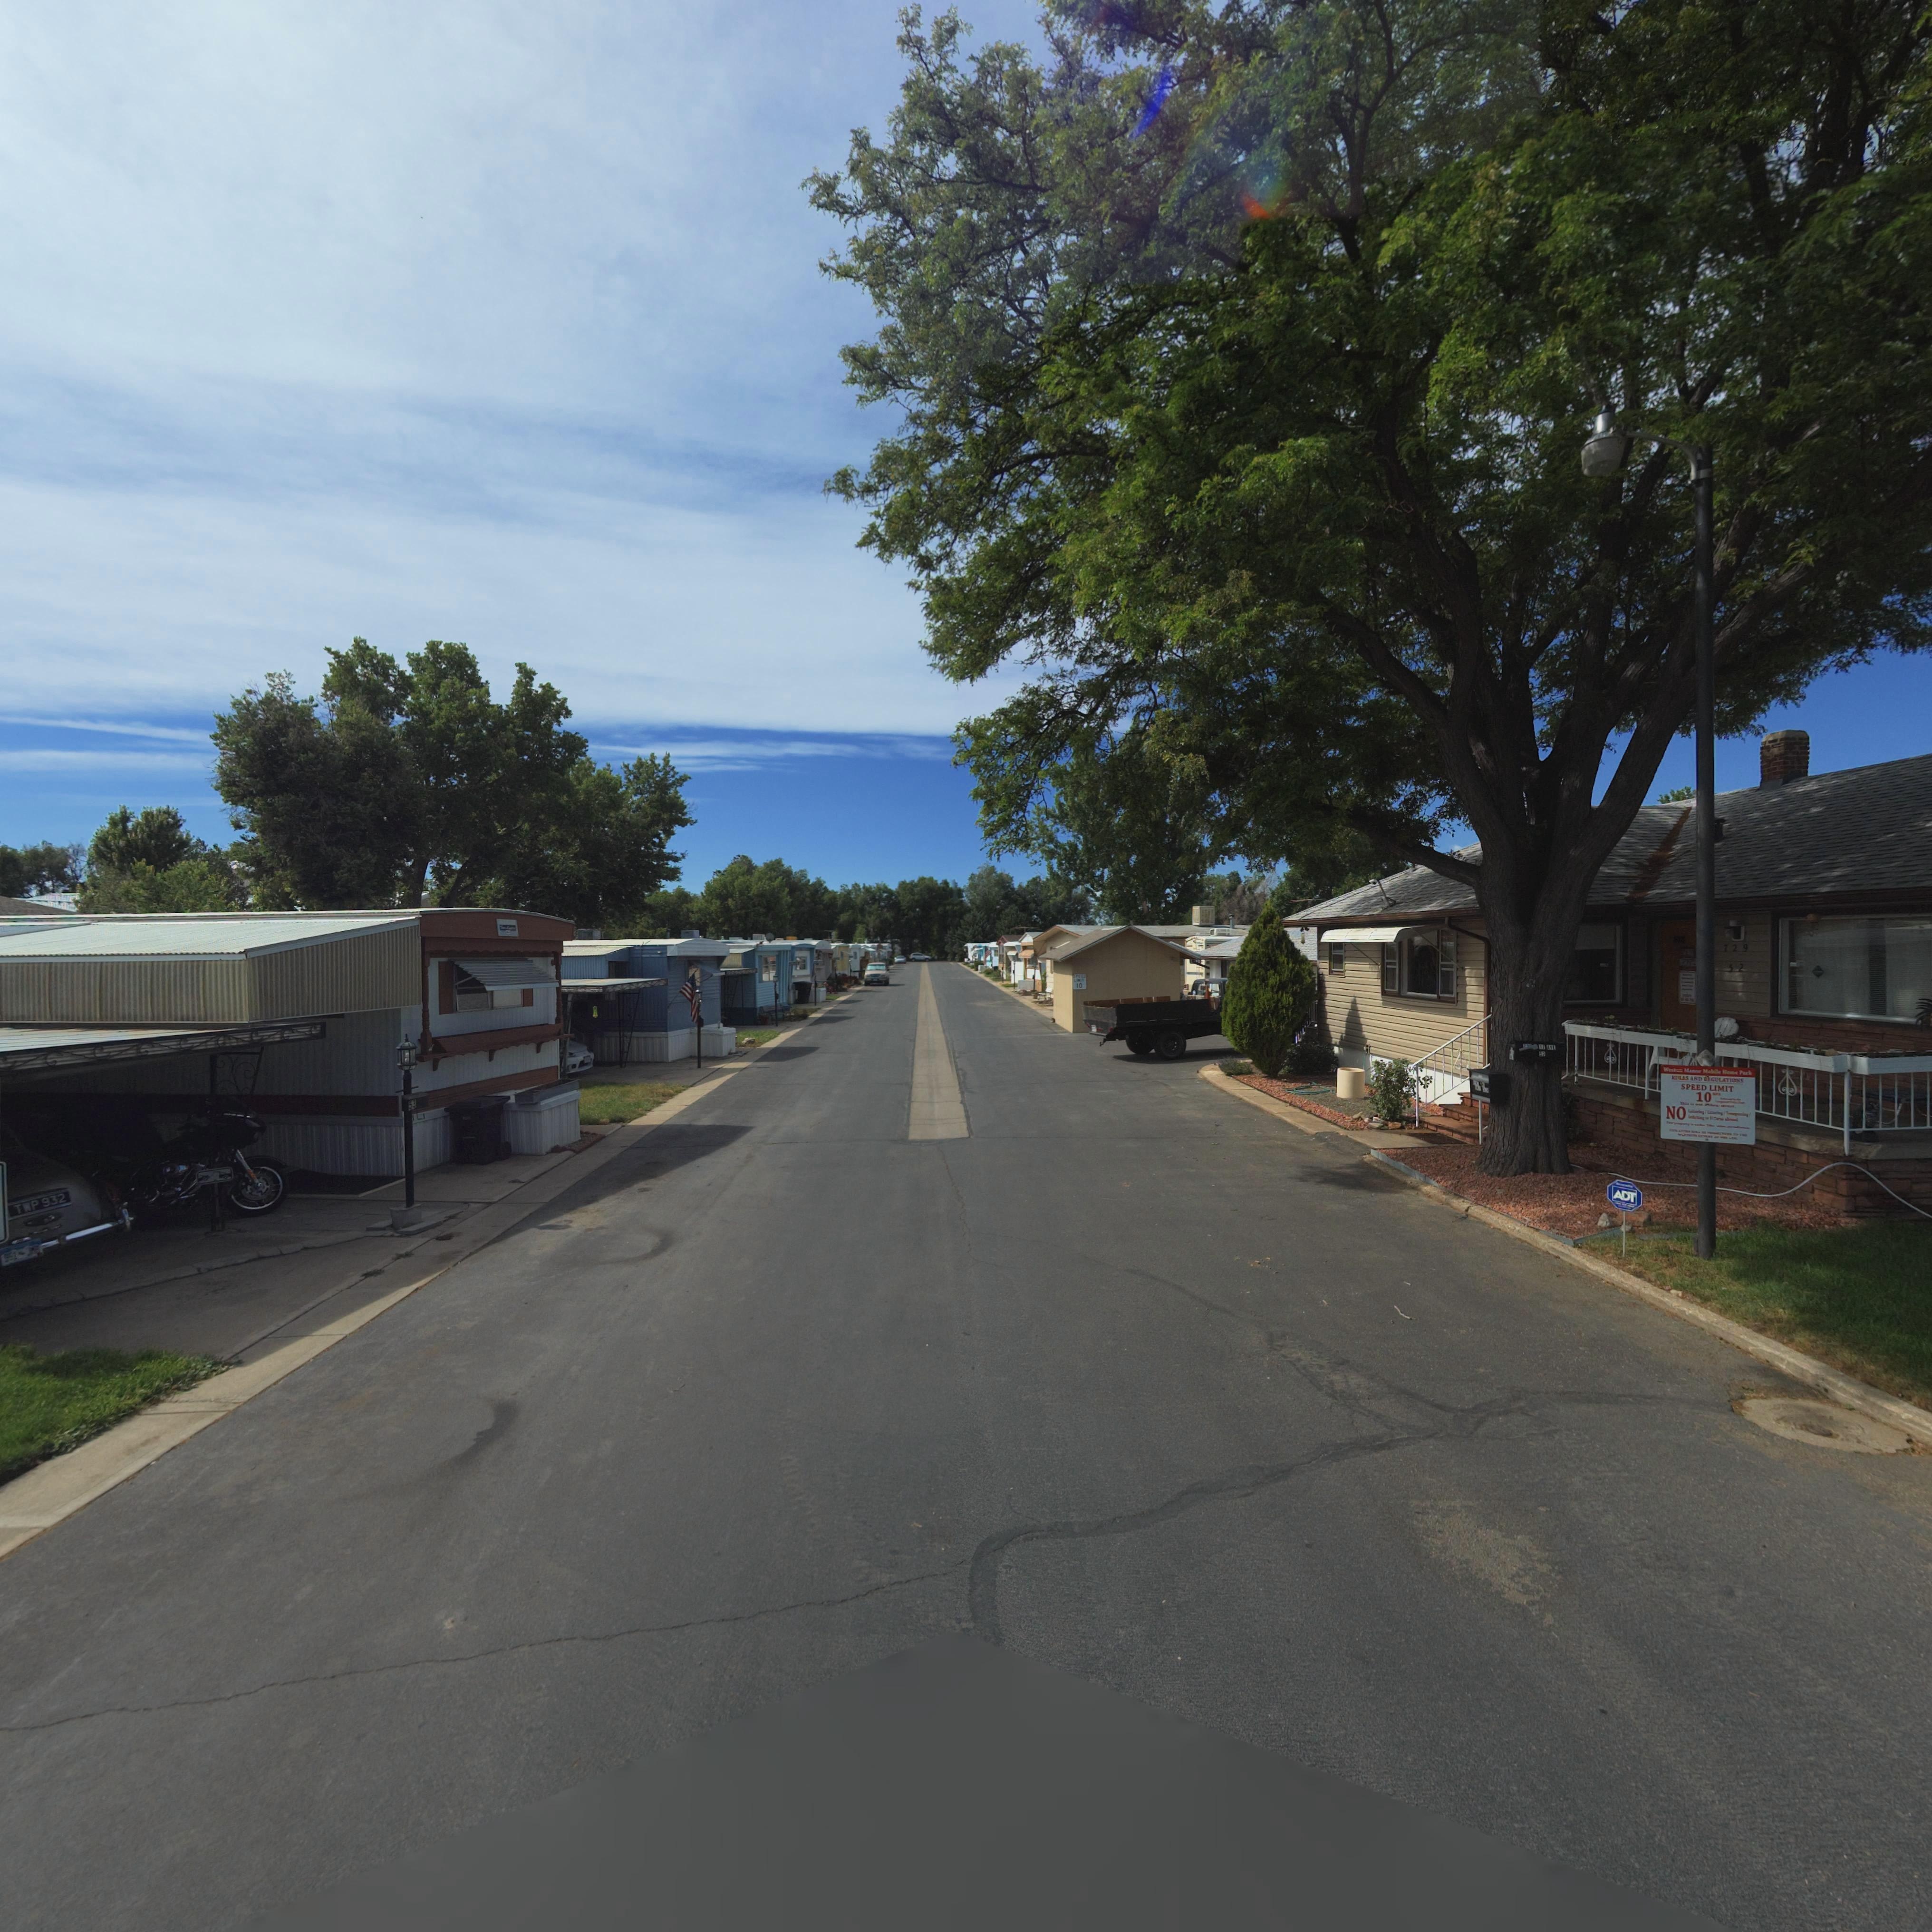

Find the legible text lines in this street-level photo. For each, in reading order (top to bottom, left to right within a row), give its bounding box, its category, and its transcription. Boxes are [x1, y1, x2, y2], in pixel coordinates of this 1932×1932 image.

[1722, 943, 1749, 953] StreetNumber: 729
[1728, 963, 1744, 973] StreetNumber: 52
[1538, 1043, 1555, 1050] StreetName: 17 Av*
[1538, 1051, 1545, 1056] StreetNumber: 52